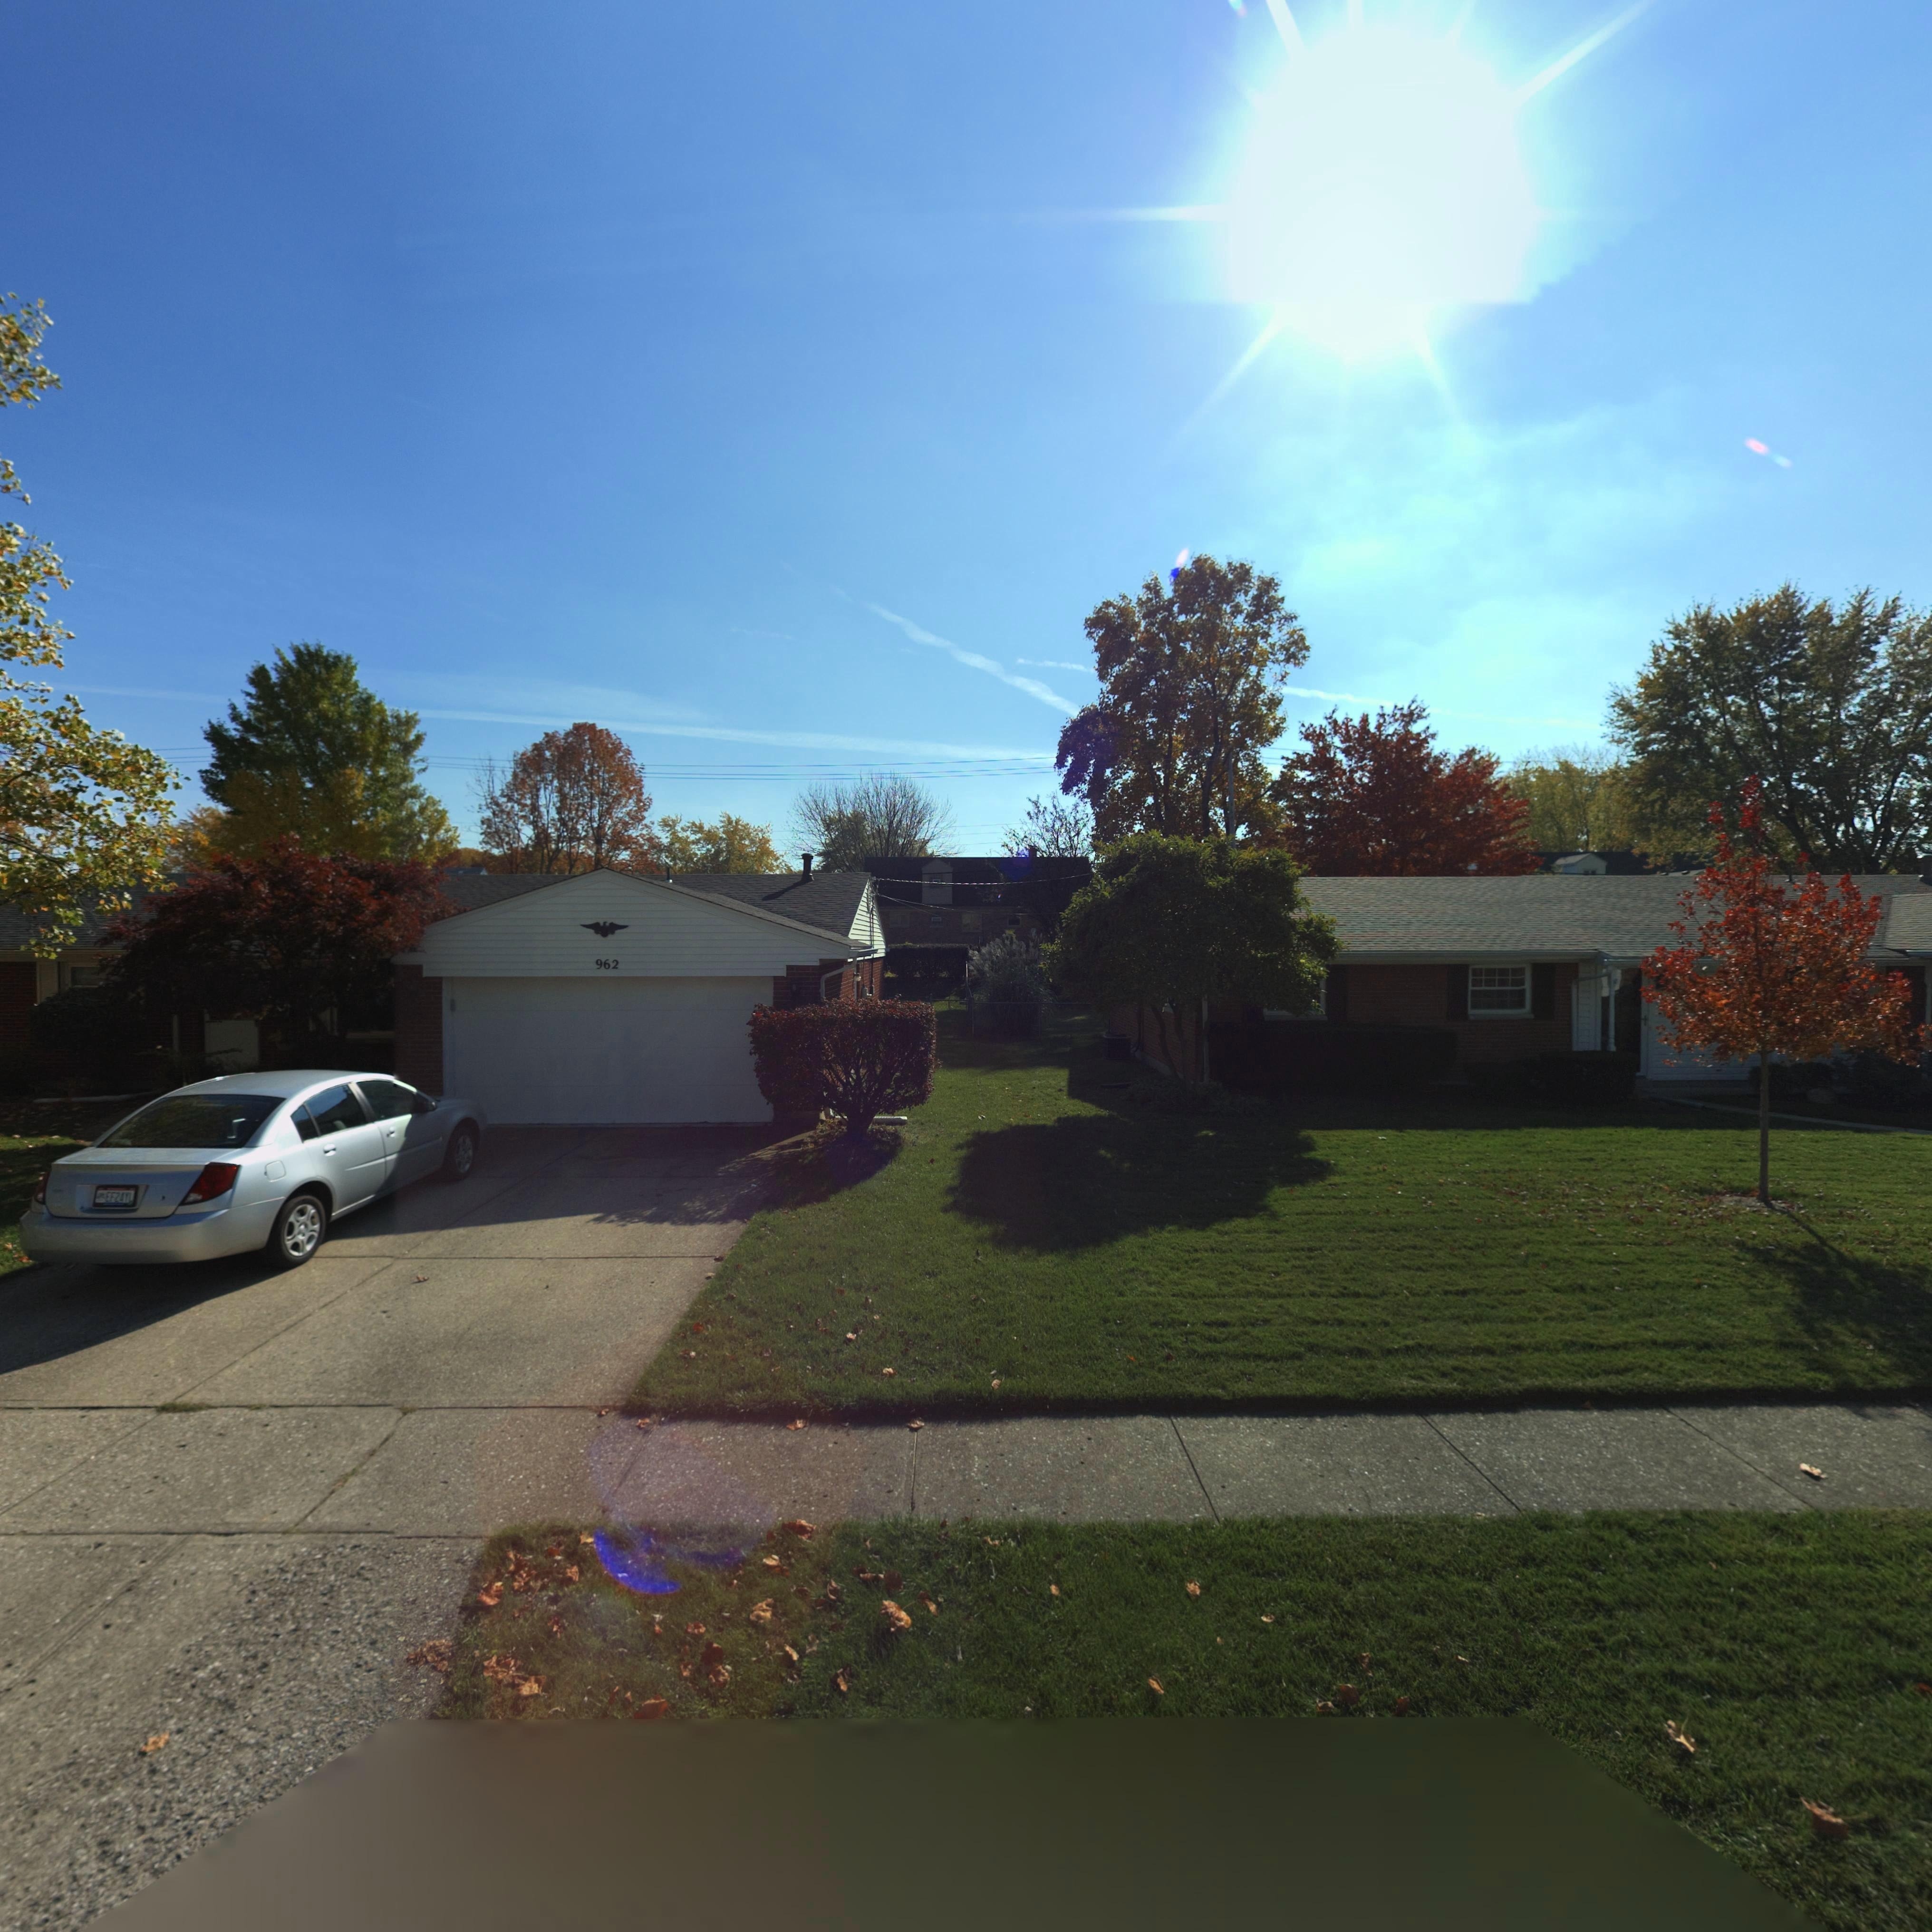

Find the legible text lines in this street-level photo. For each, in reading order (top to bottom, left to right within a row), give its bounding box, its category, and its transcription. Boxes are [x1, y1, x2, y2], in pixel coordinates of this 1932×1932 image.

[595, 958, 619, 970] StreetNumber: 962
[105, 1190, 134, 1204] None: EF24YL